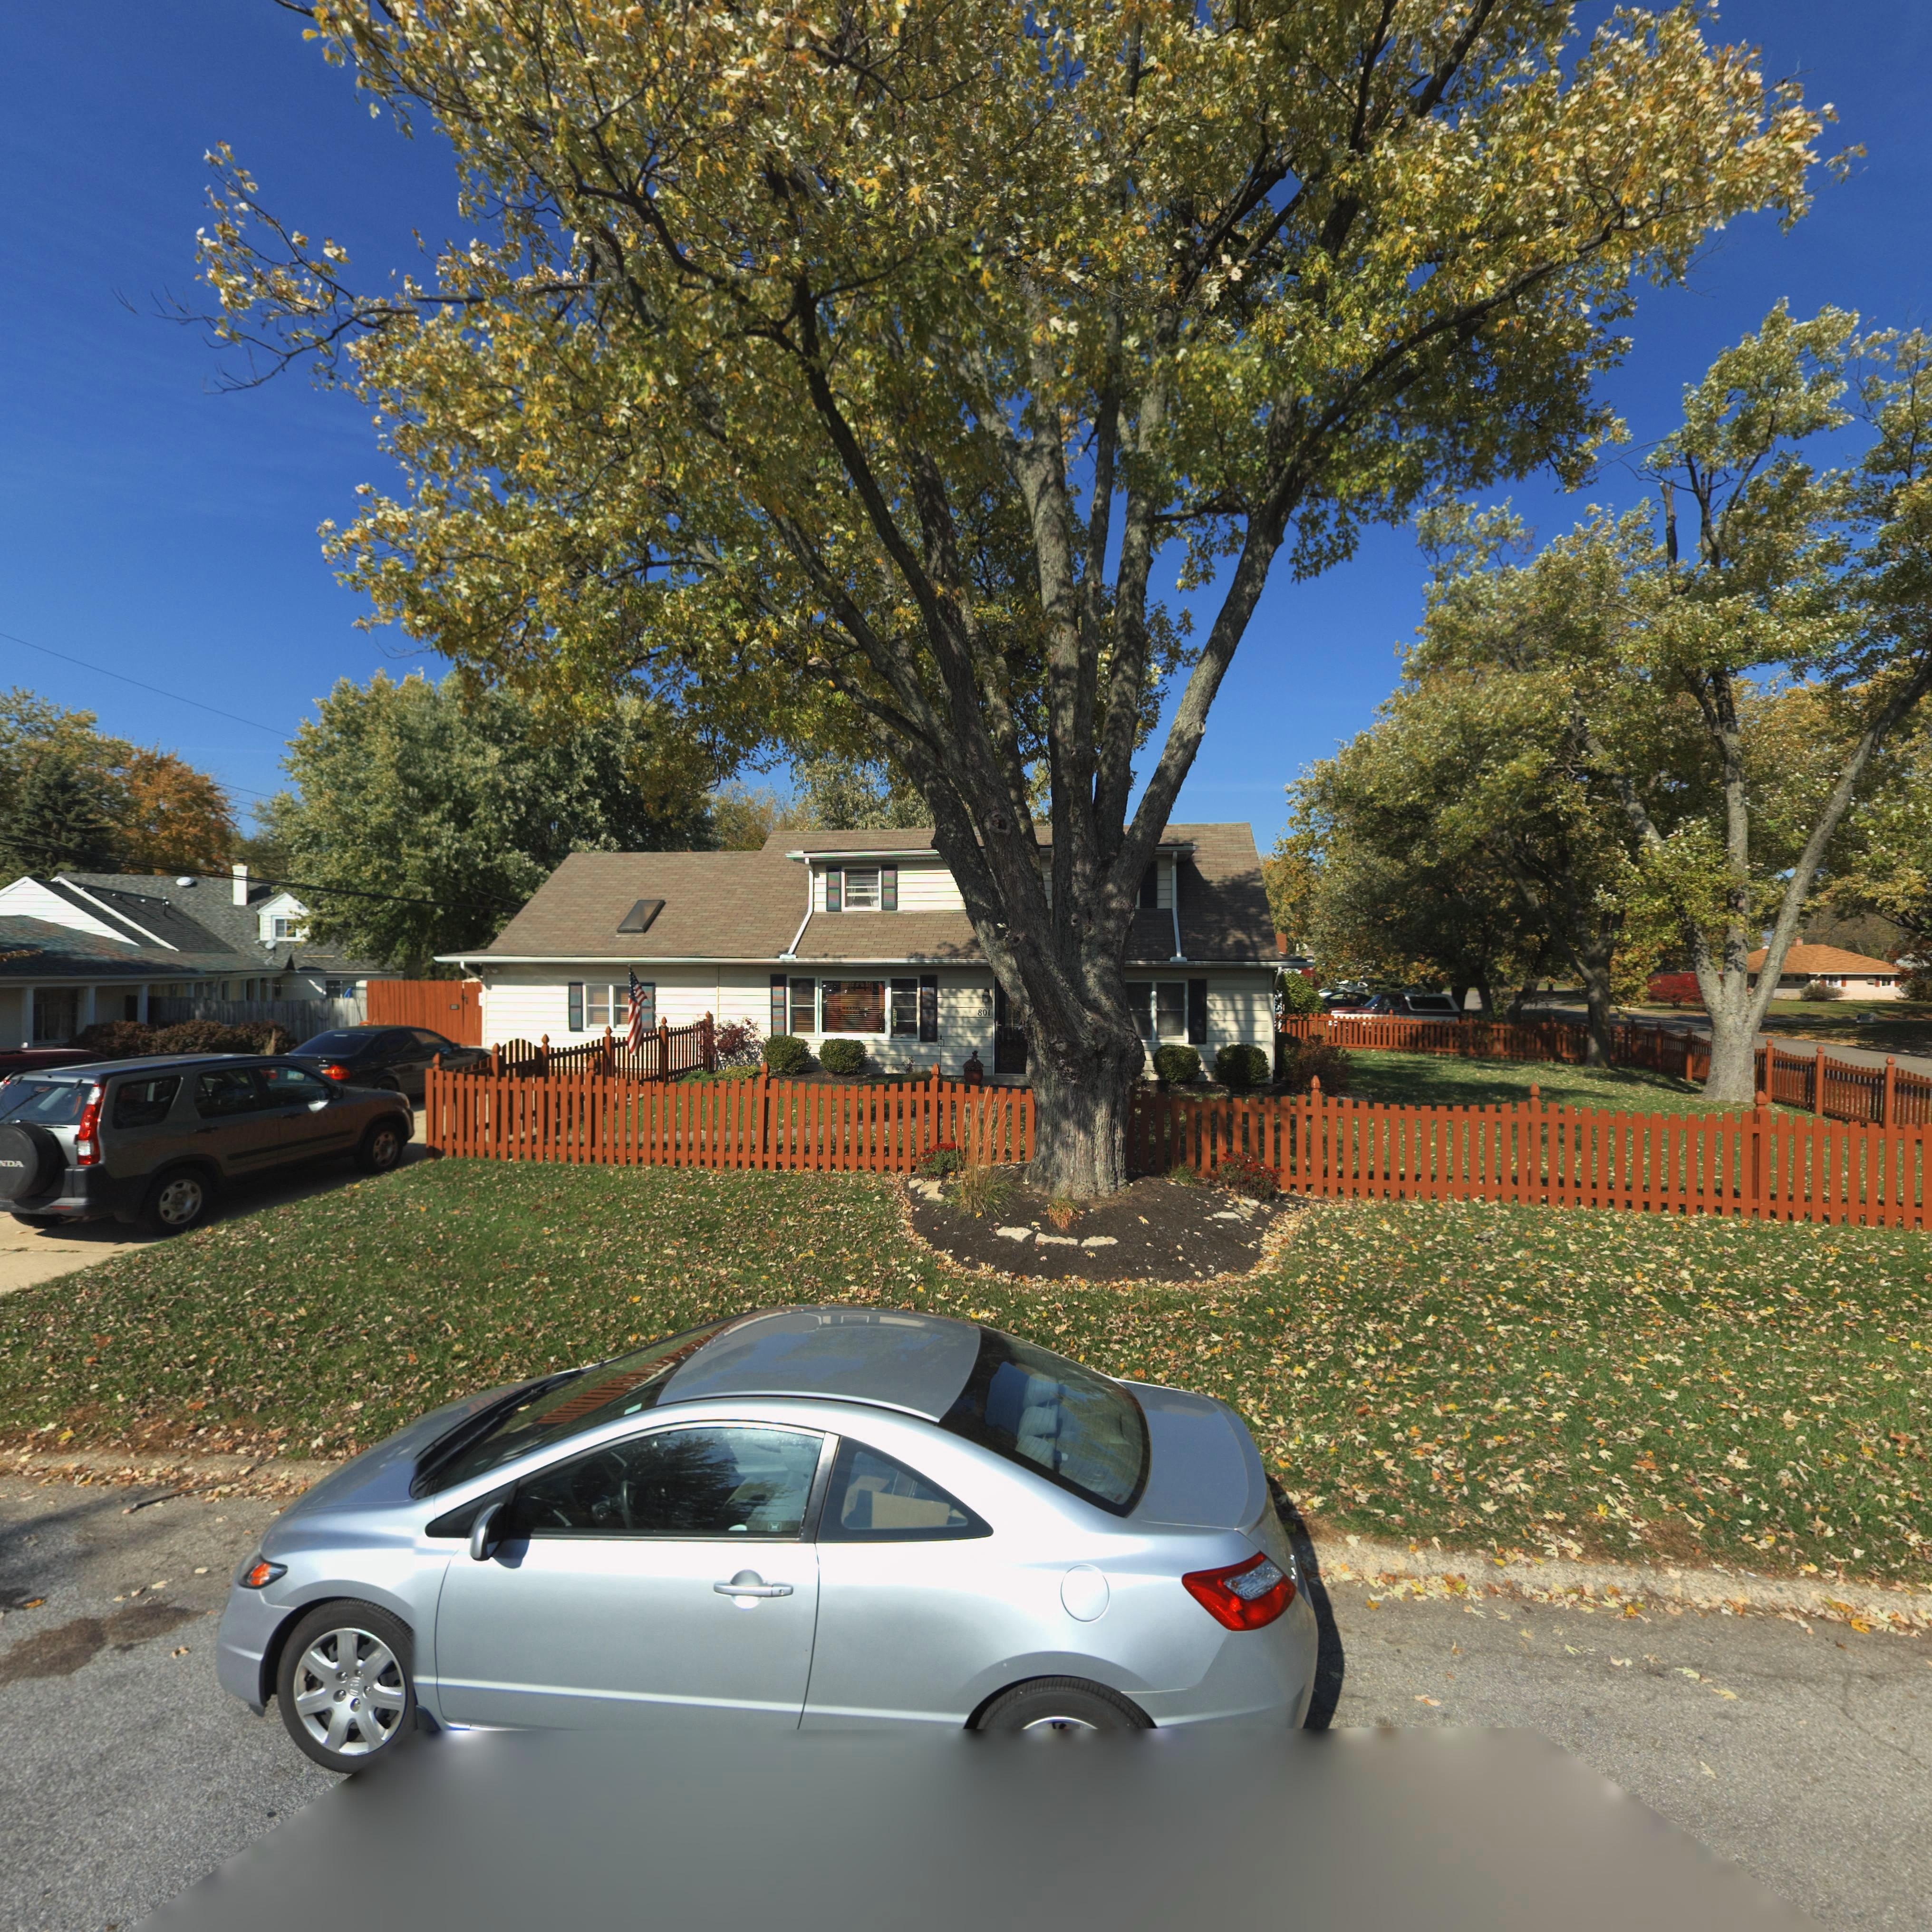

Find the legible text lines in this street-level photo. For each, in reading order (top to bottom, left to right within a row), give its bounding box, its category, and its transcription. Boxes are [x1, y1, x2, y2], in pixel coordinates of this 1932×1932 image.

[977, 1008, 991, 1017] StreetNumber: 801
[7, 1159, 26, 1169] None: DA